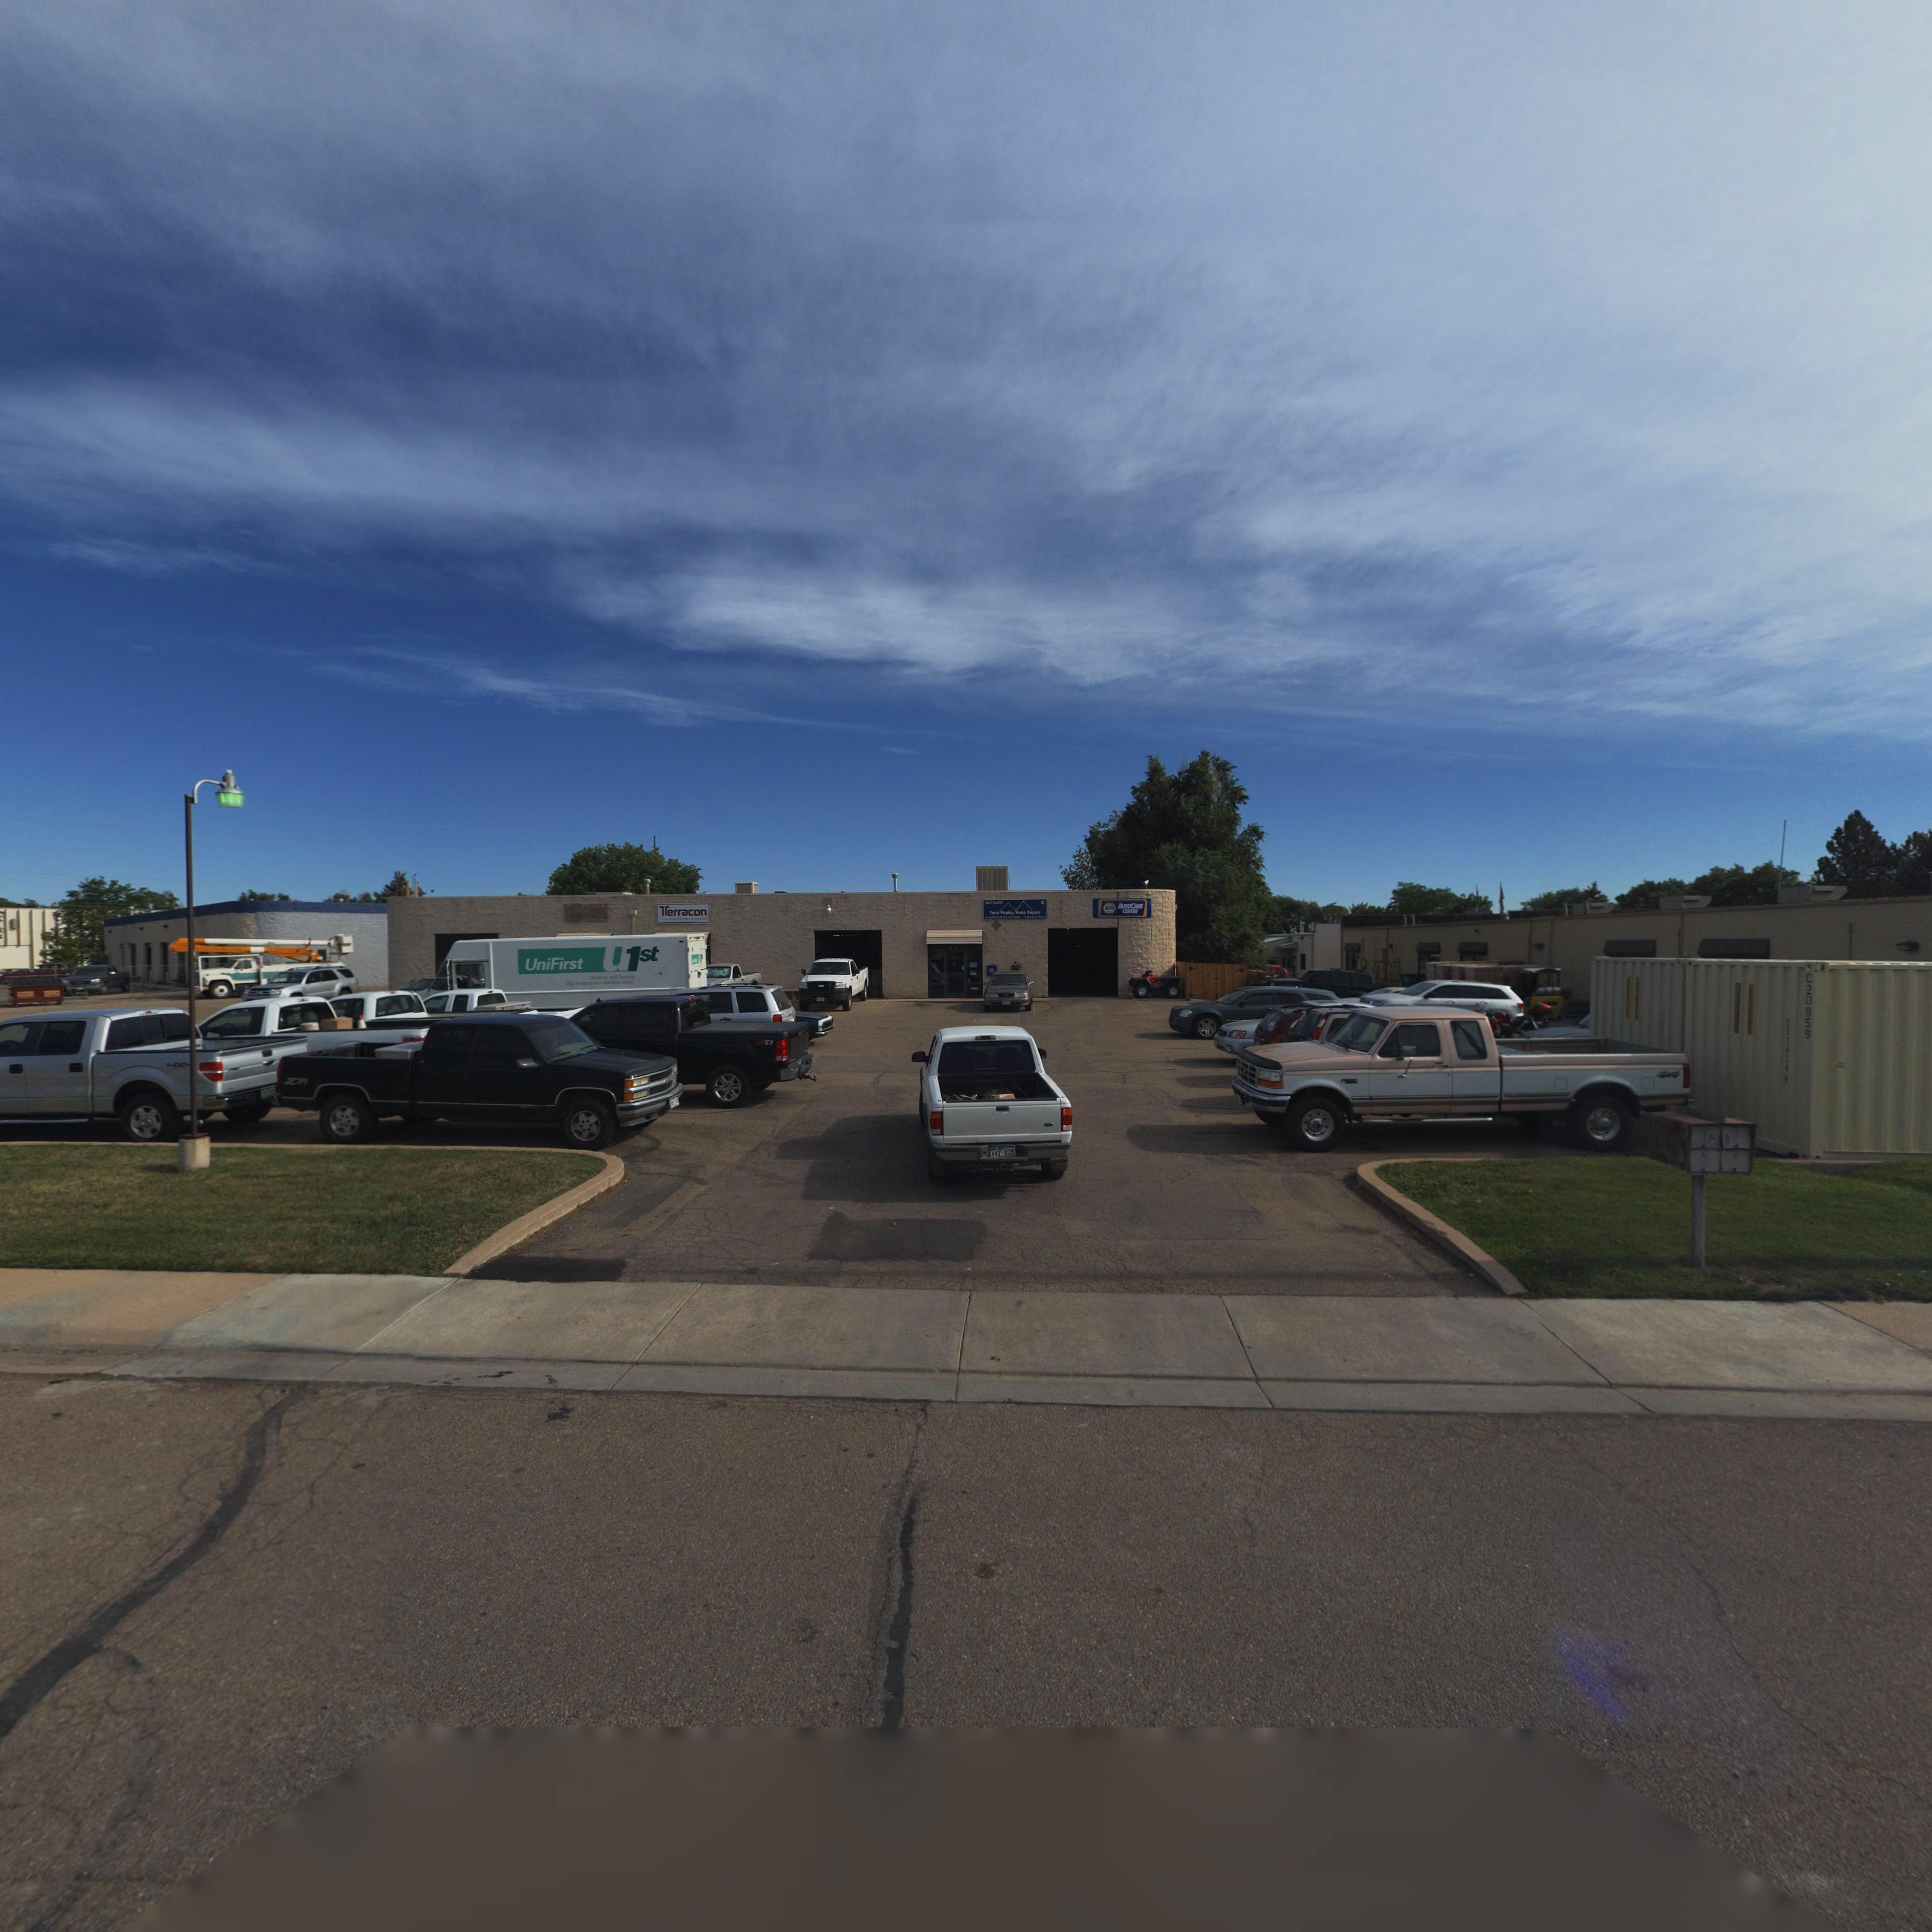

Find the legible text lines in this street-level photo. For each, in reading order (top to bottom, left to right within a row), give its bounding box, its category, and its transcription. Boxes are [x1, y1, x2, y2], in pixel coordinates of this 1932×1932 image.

[1104, 905, 1114, 910] BusinessName: *APA
[1117, 902, 1143, 909] BusinessName: AUTOCARE
[659, 905, 707, 916] BusinessName: *erracon
[989, 910, 1041, 915] BusinessName: Twin Peak** Auto Repa**
[1122, 909, 1138, 913] BusinessName: CE*TER